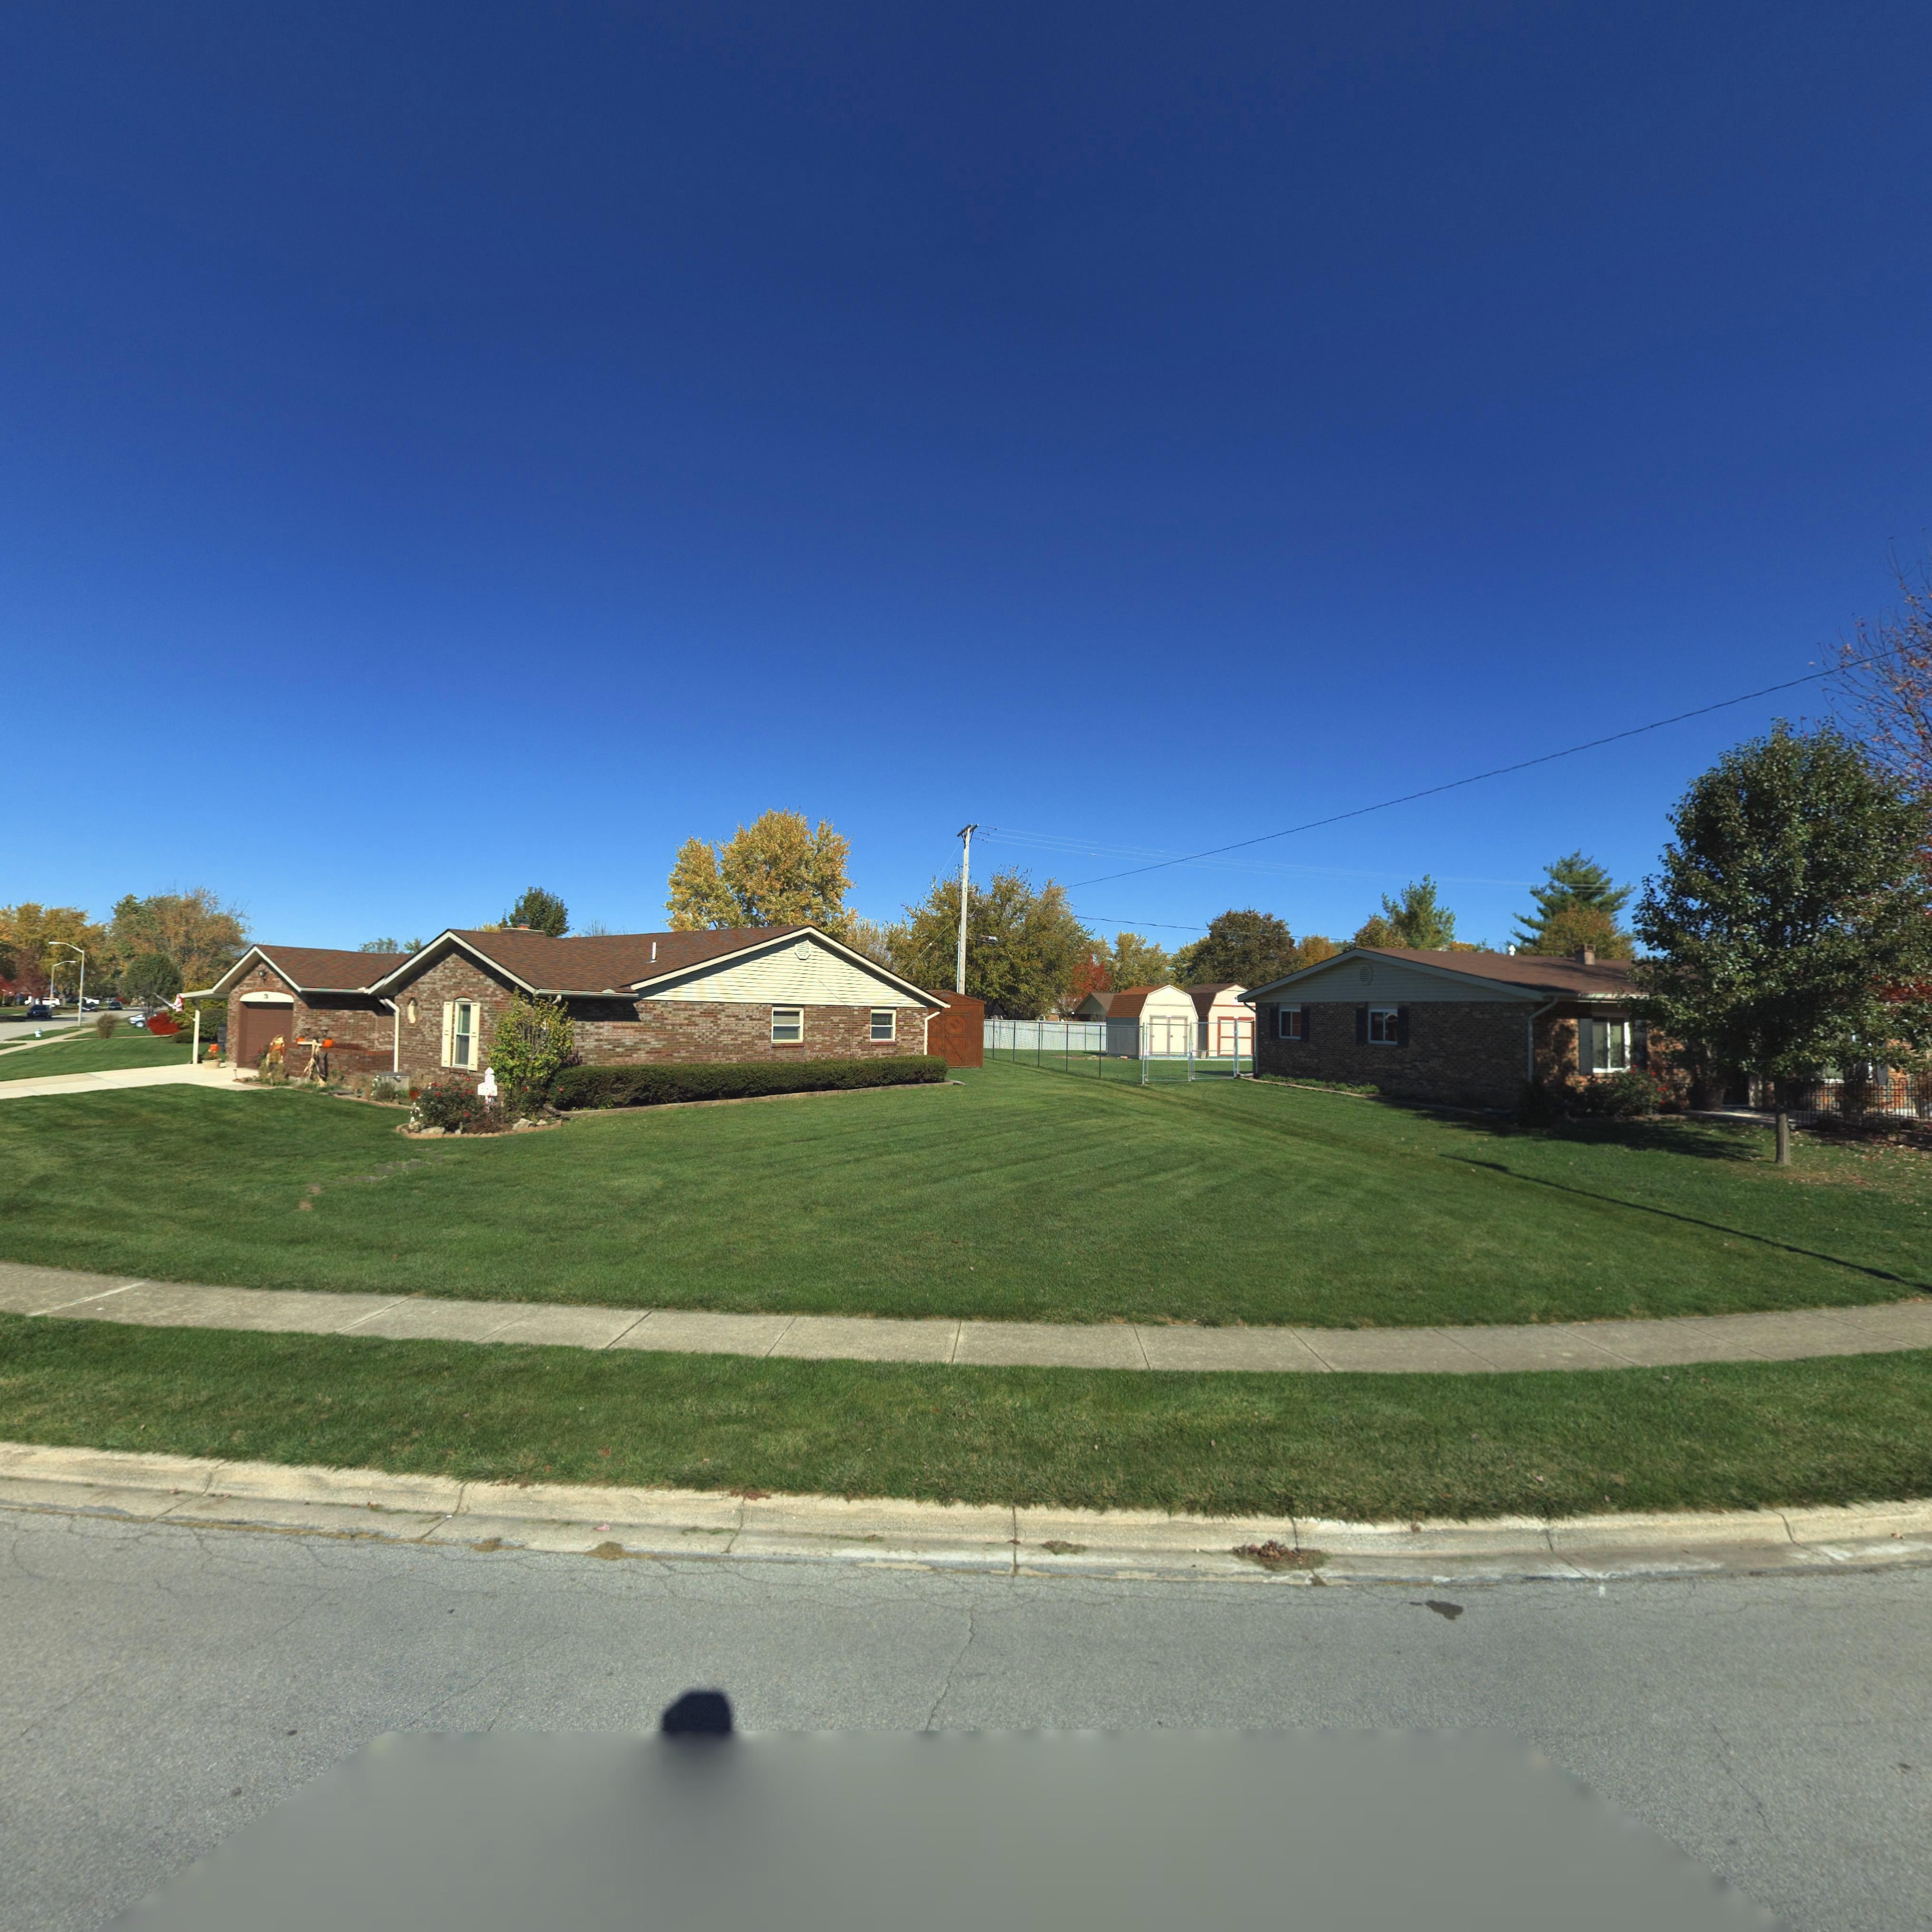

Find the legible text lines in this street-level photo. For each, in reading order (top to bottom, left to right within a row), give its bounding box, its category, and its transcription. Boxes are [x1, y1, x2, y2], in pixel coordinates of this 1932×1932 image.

[263, 993, 269, 999] StreetNumber: 7*6